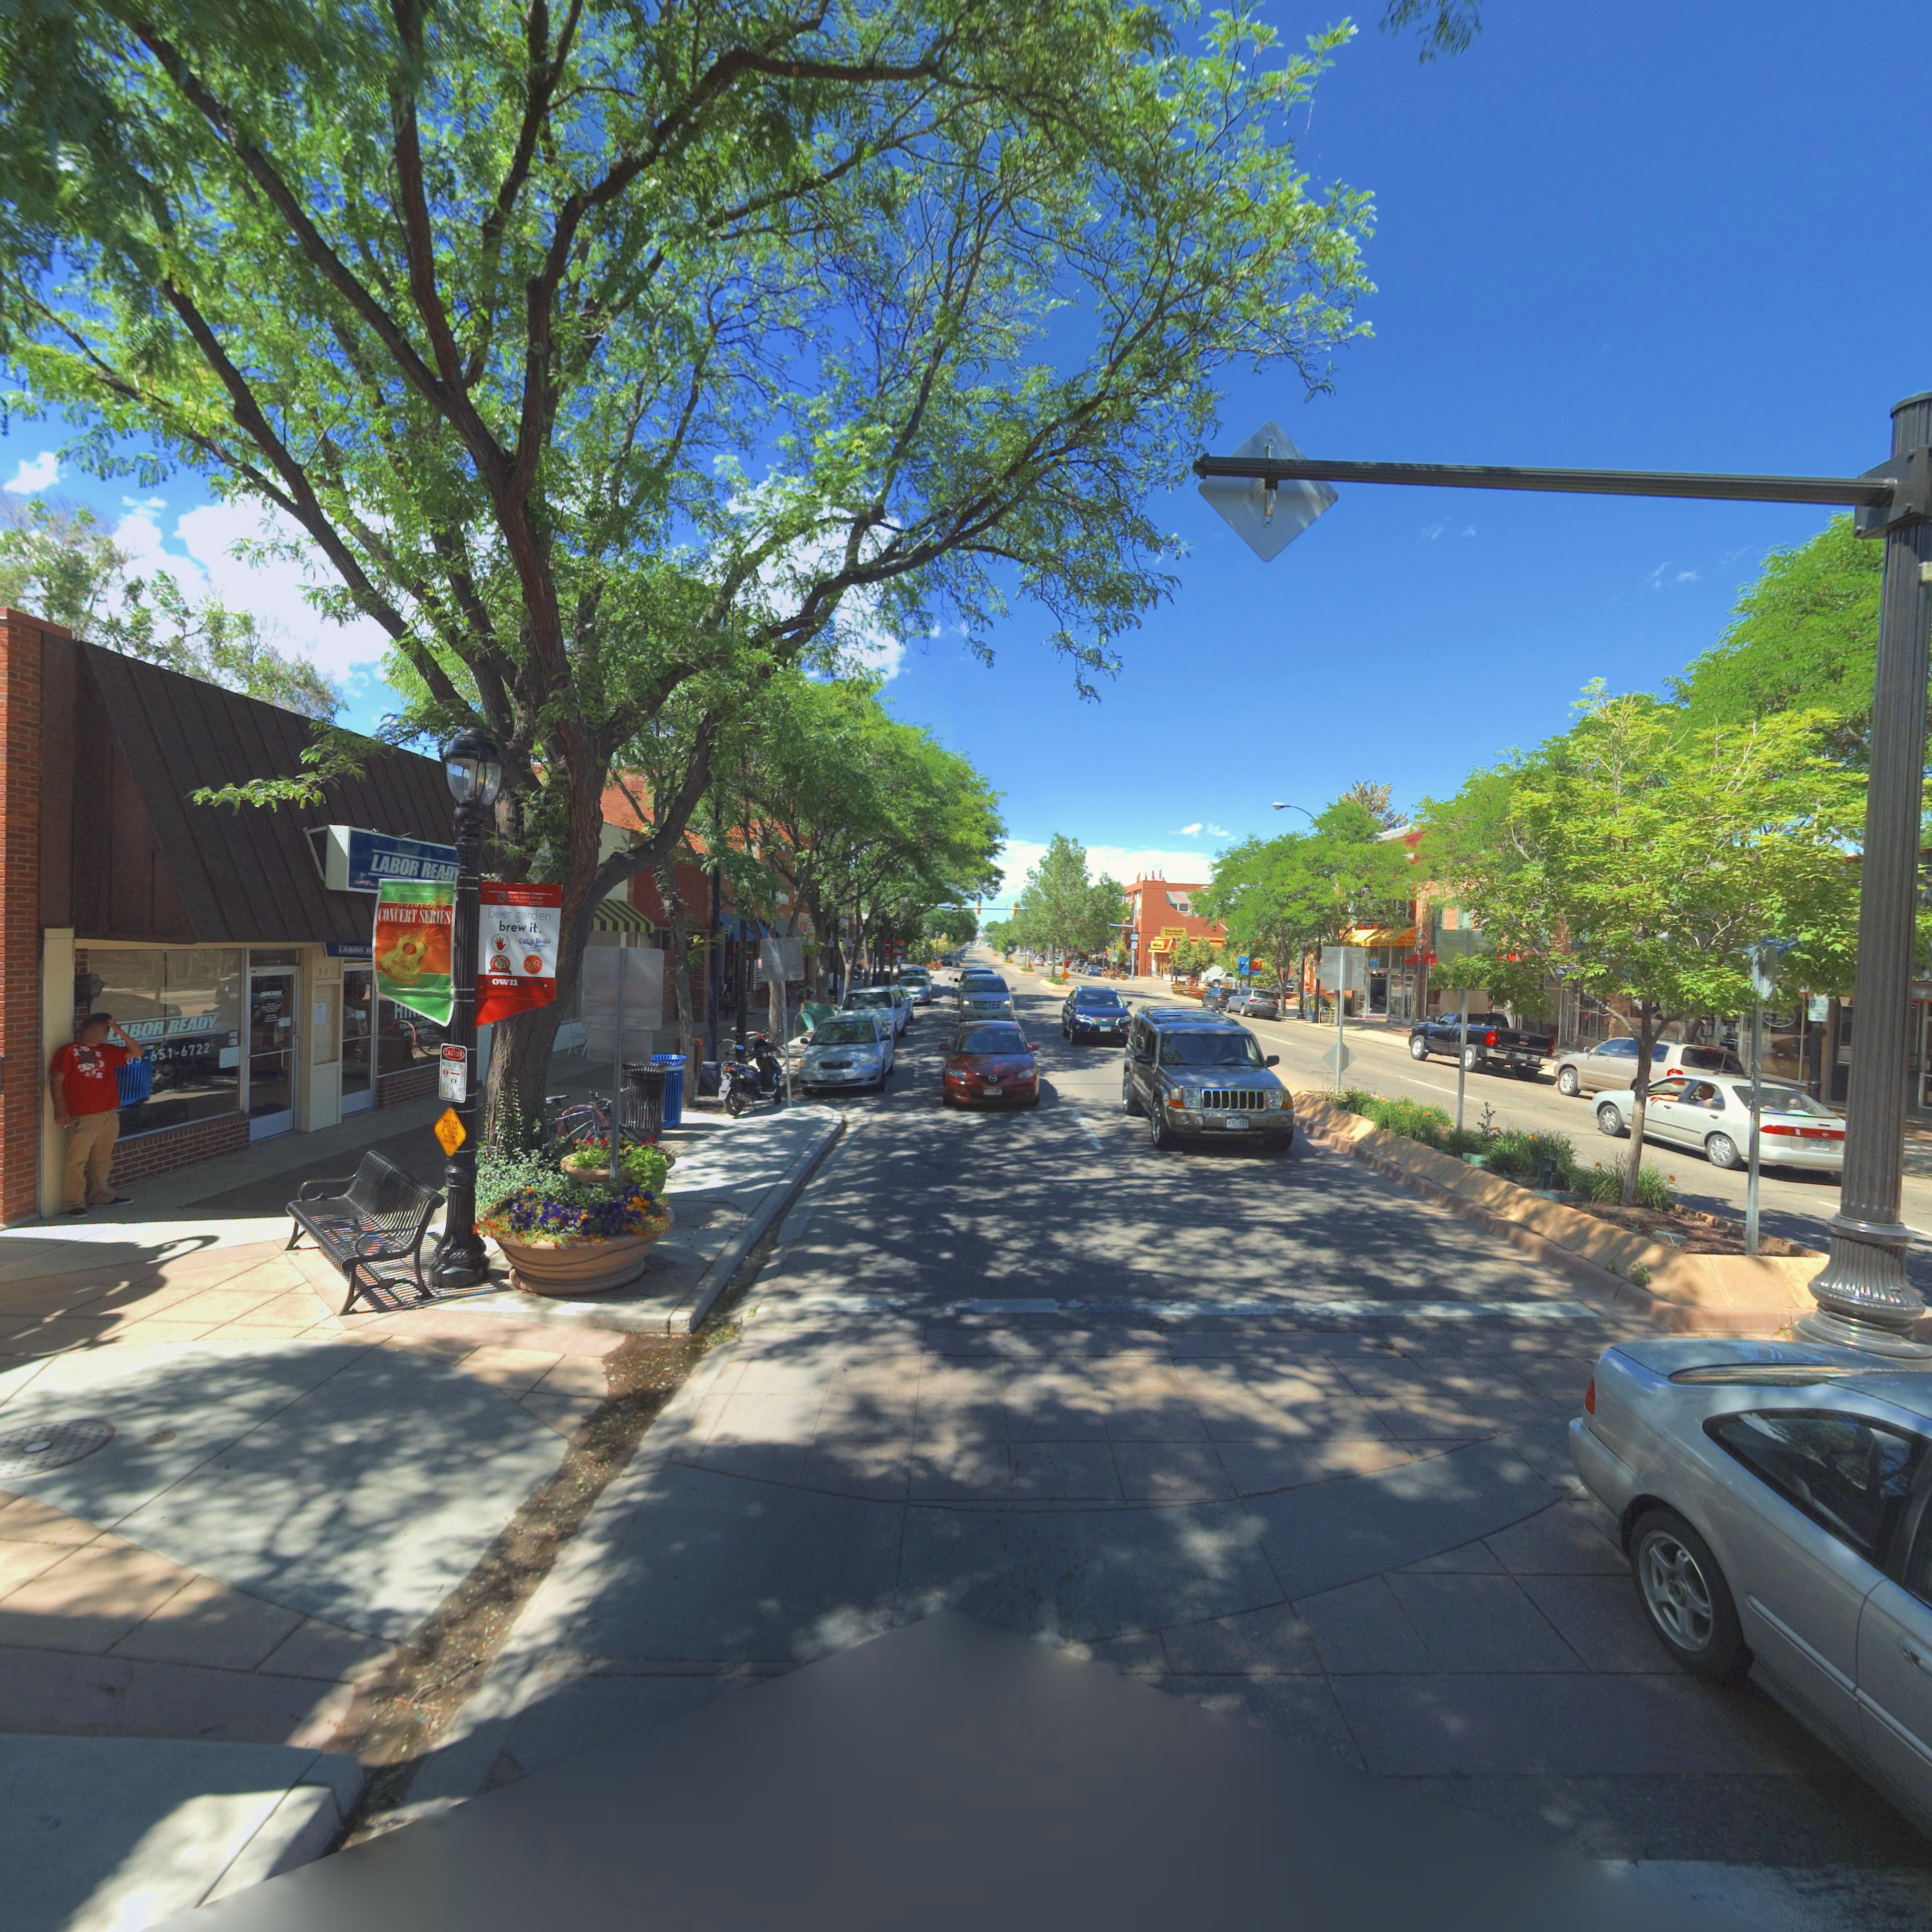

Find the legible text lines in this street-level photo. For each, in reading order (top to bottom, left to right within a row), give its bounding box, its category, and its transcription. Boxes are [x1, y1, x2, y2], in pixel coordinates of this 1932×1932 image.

[369, 853, 454, 882] BusinessName: LABOR READ
[338, 947, 371, 953] BusinessName: LABOR R
[106, 1015, 218, 1041] BusinessName: **BOR READY